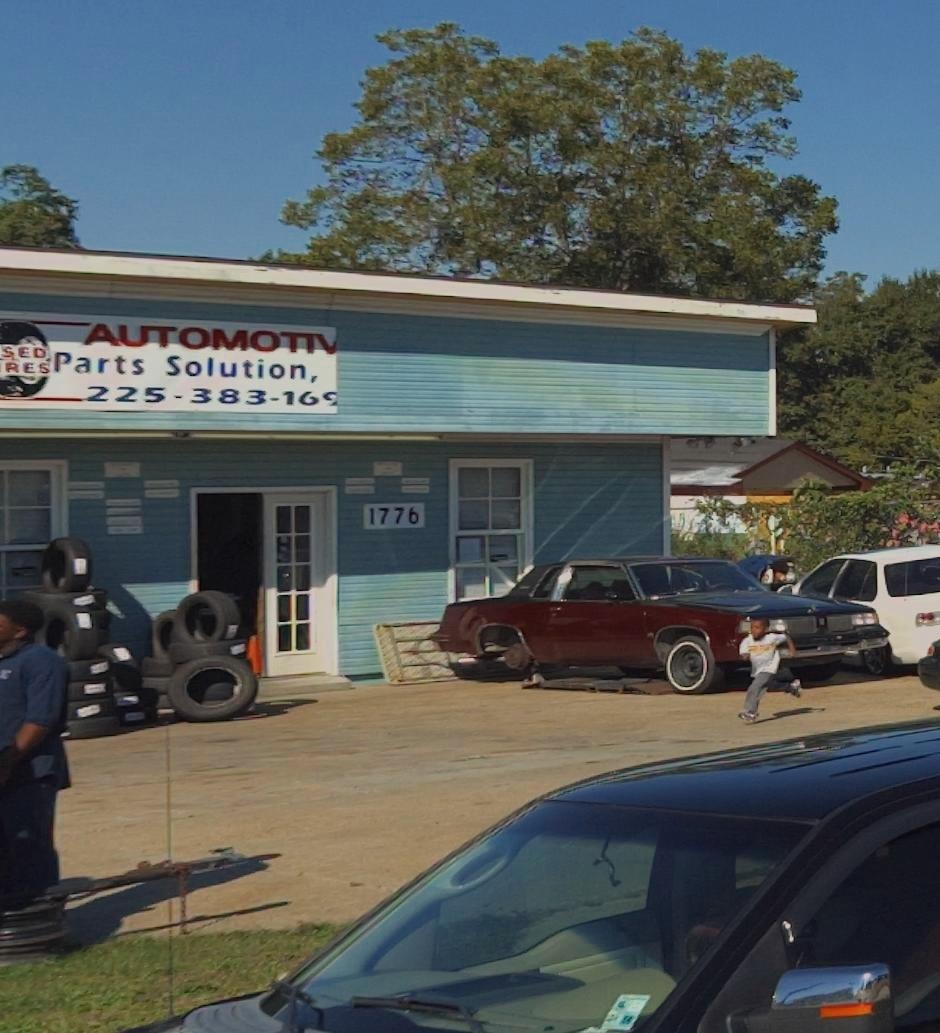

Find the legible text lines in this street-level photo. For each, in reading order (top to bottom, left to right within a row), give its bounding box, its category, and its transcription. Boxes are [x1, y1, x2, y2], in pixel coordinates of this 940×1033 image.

[0, 343, 51, 360] None: SED
[76, 321, 326, 357] BusinessName: AUTOMOTI
[2, 361, 51, 376] None: RES
[50, 349, 323, 386] BusinessName: Parts Solution,
[82, 382, 323, 408] None: 225-383-16
[366, 505, 423, 528] StreetNumber: 1776